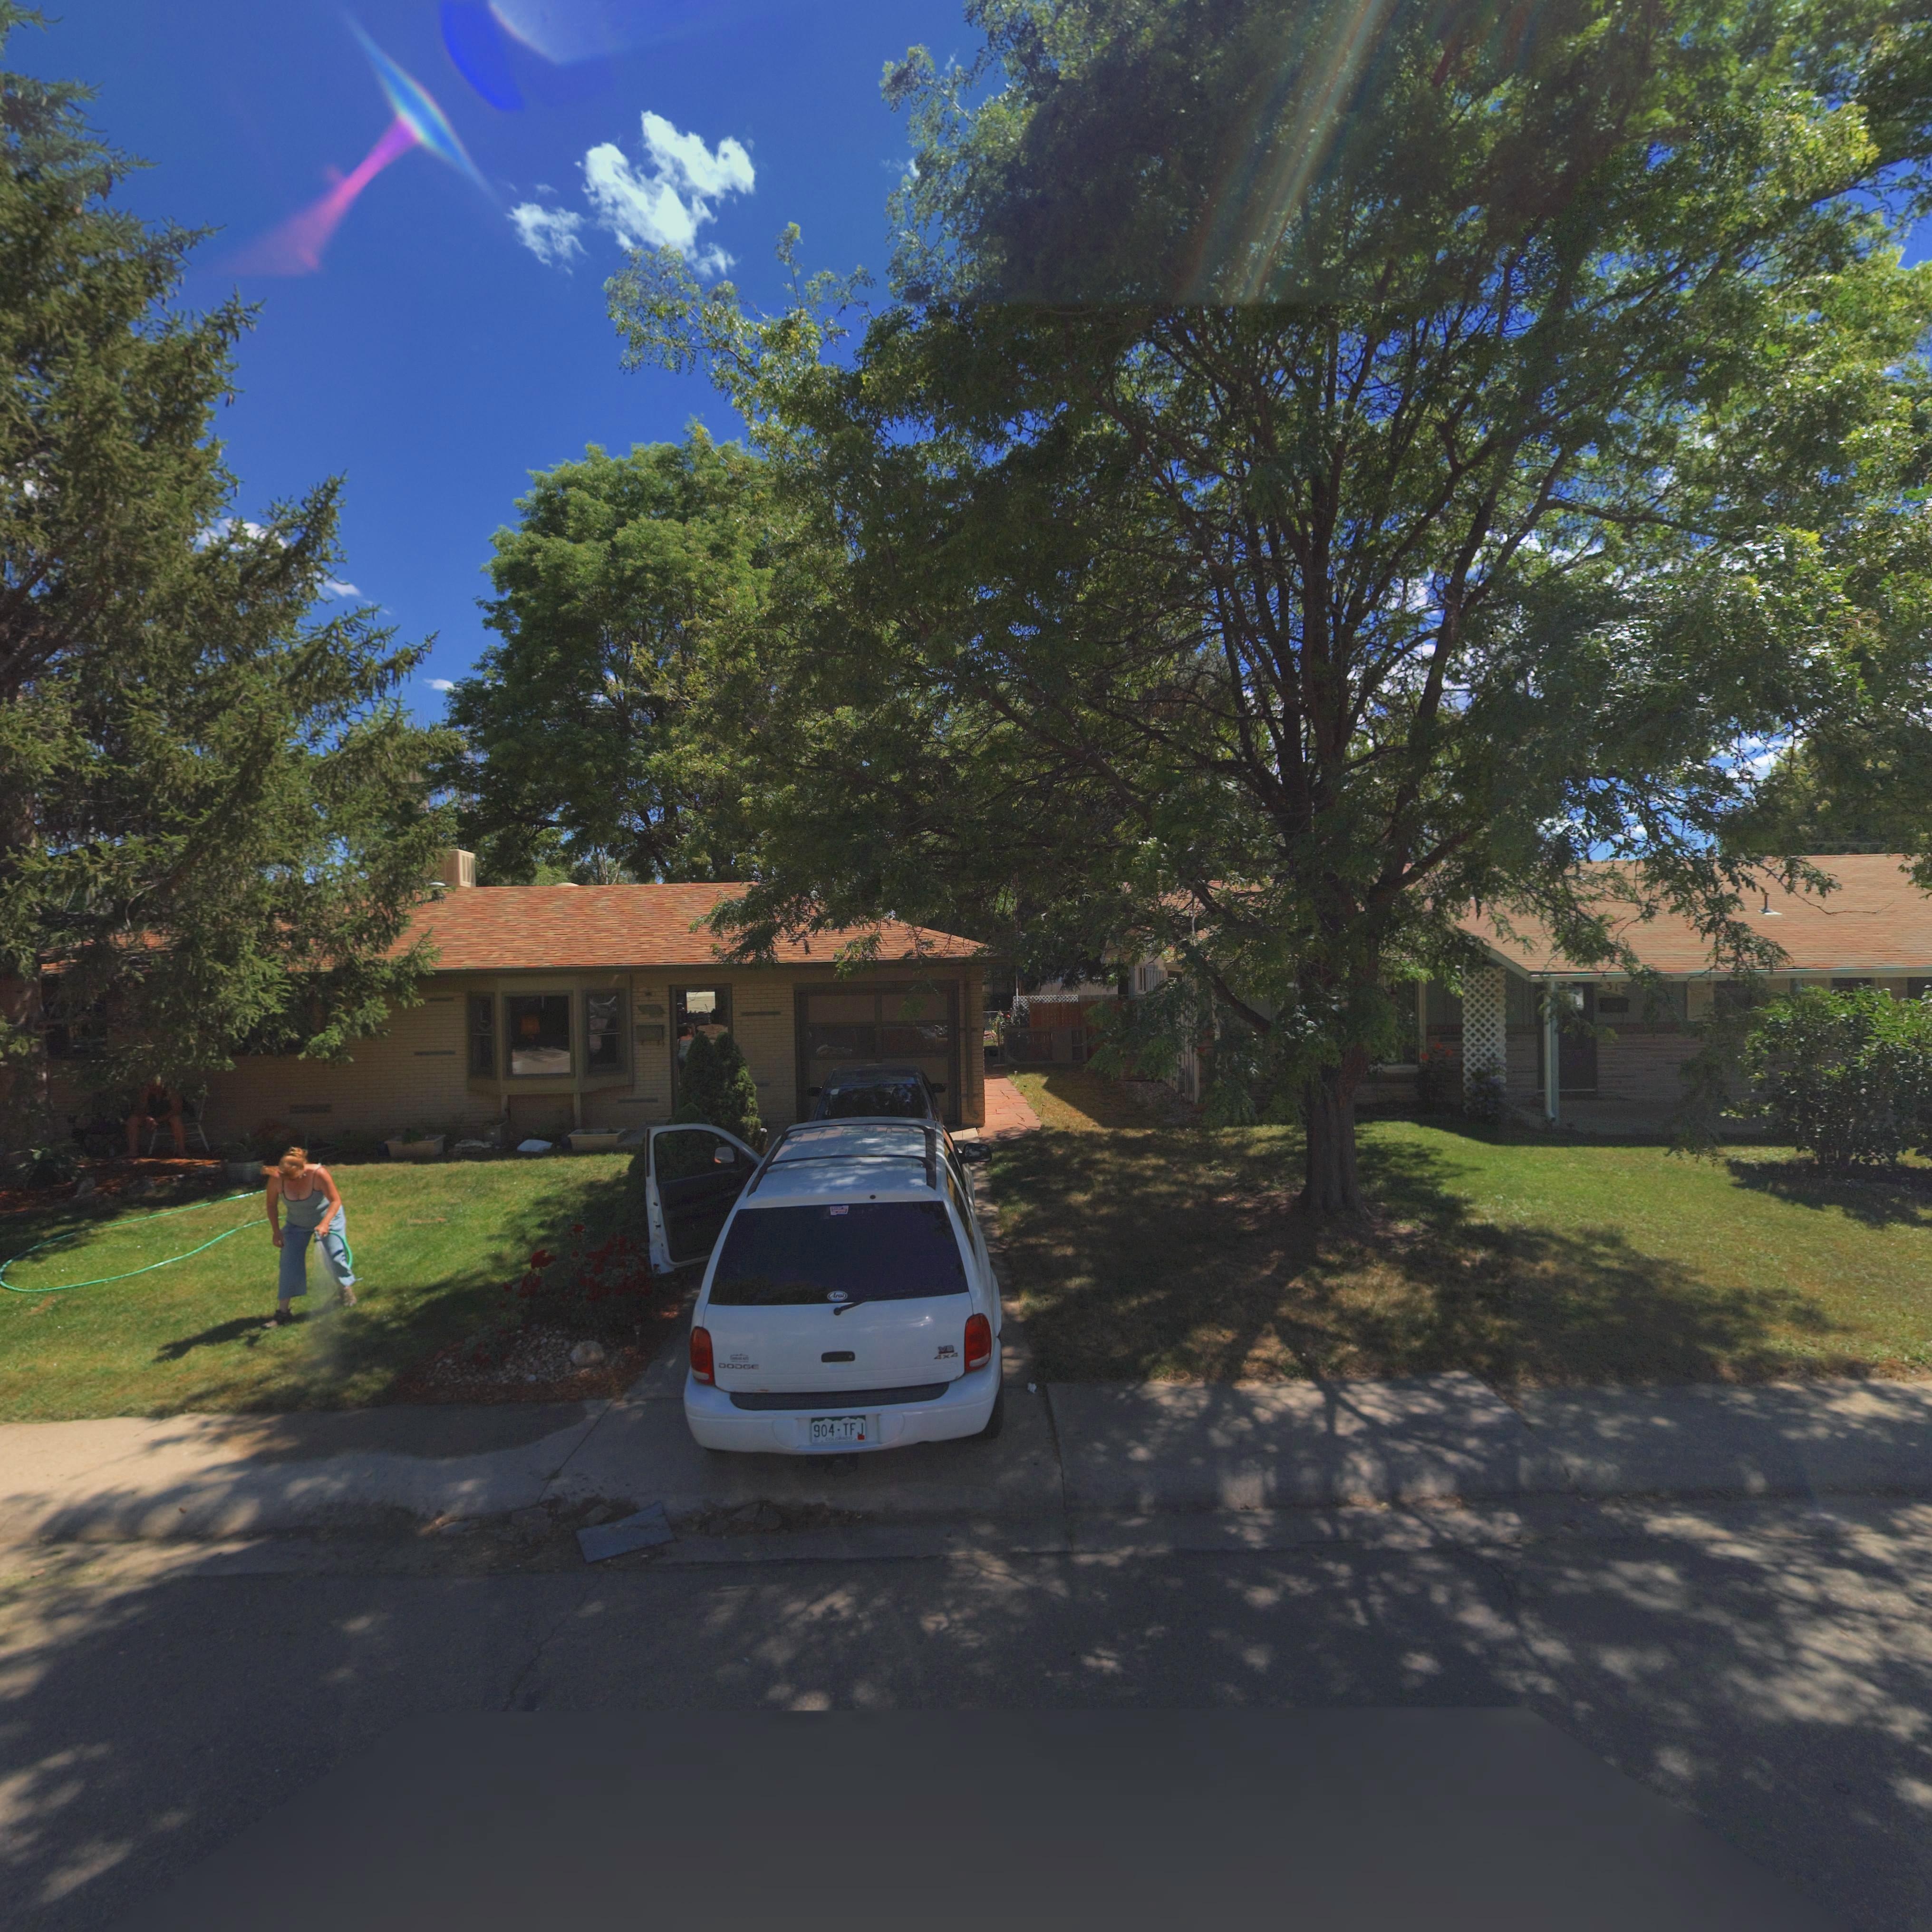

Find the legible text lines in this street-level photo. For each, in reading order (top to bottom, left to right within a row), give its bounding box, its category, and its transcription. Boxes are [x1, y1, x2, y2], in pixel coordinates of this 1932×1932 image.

[1606, 982, 1618, 991] StreetNumber: 31